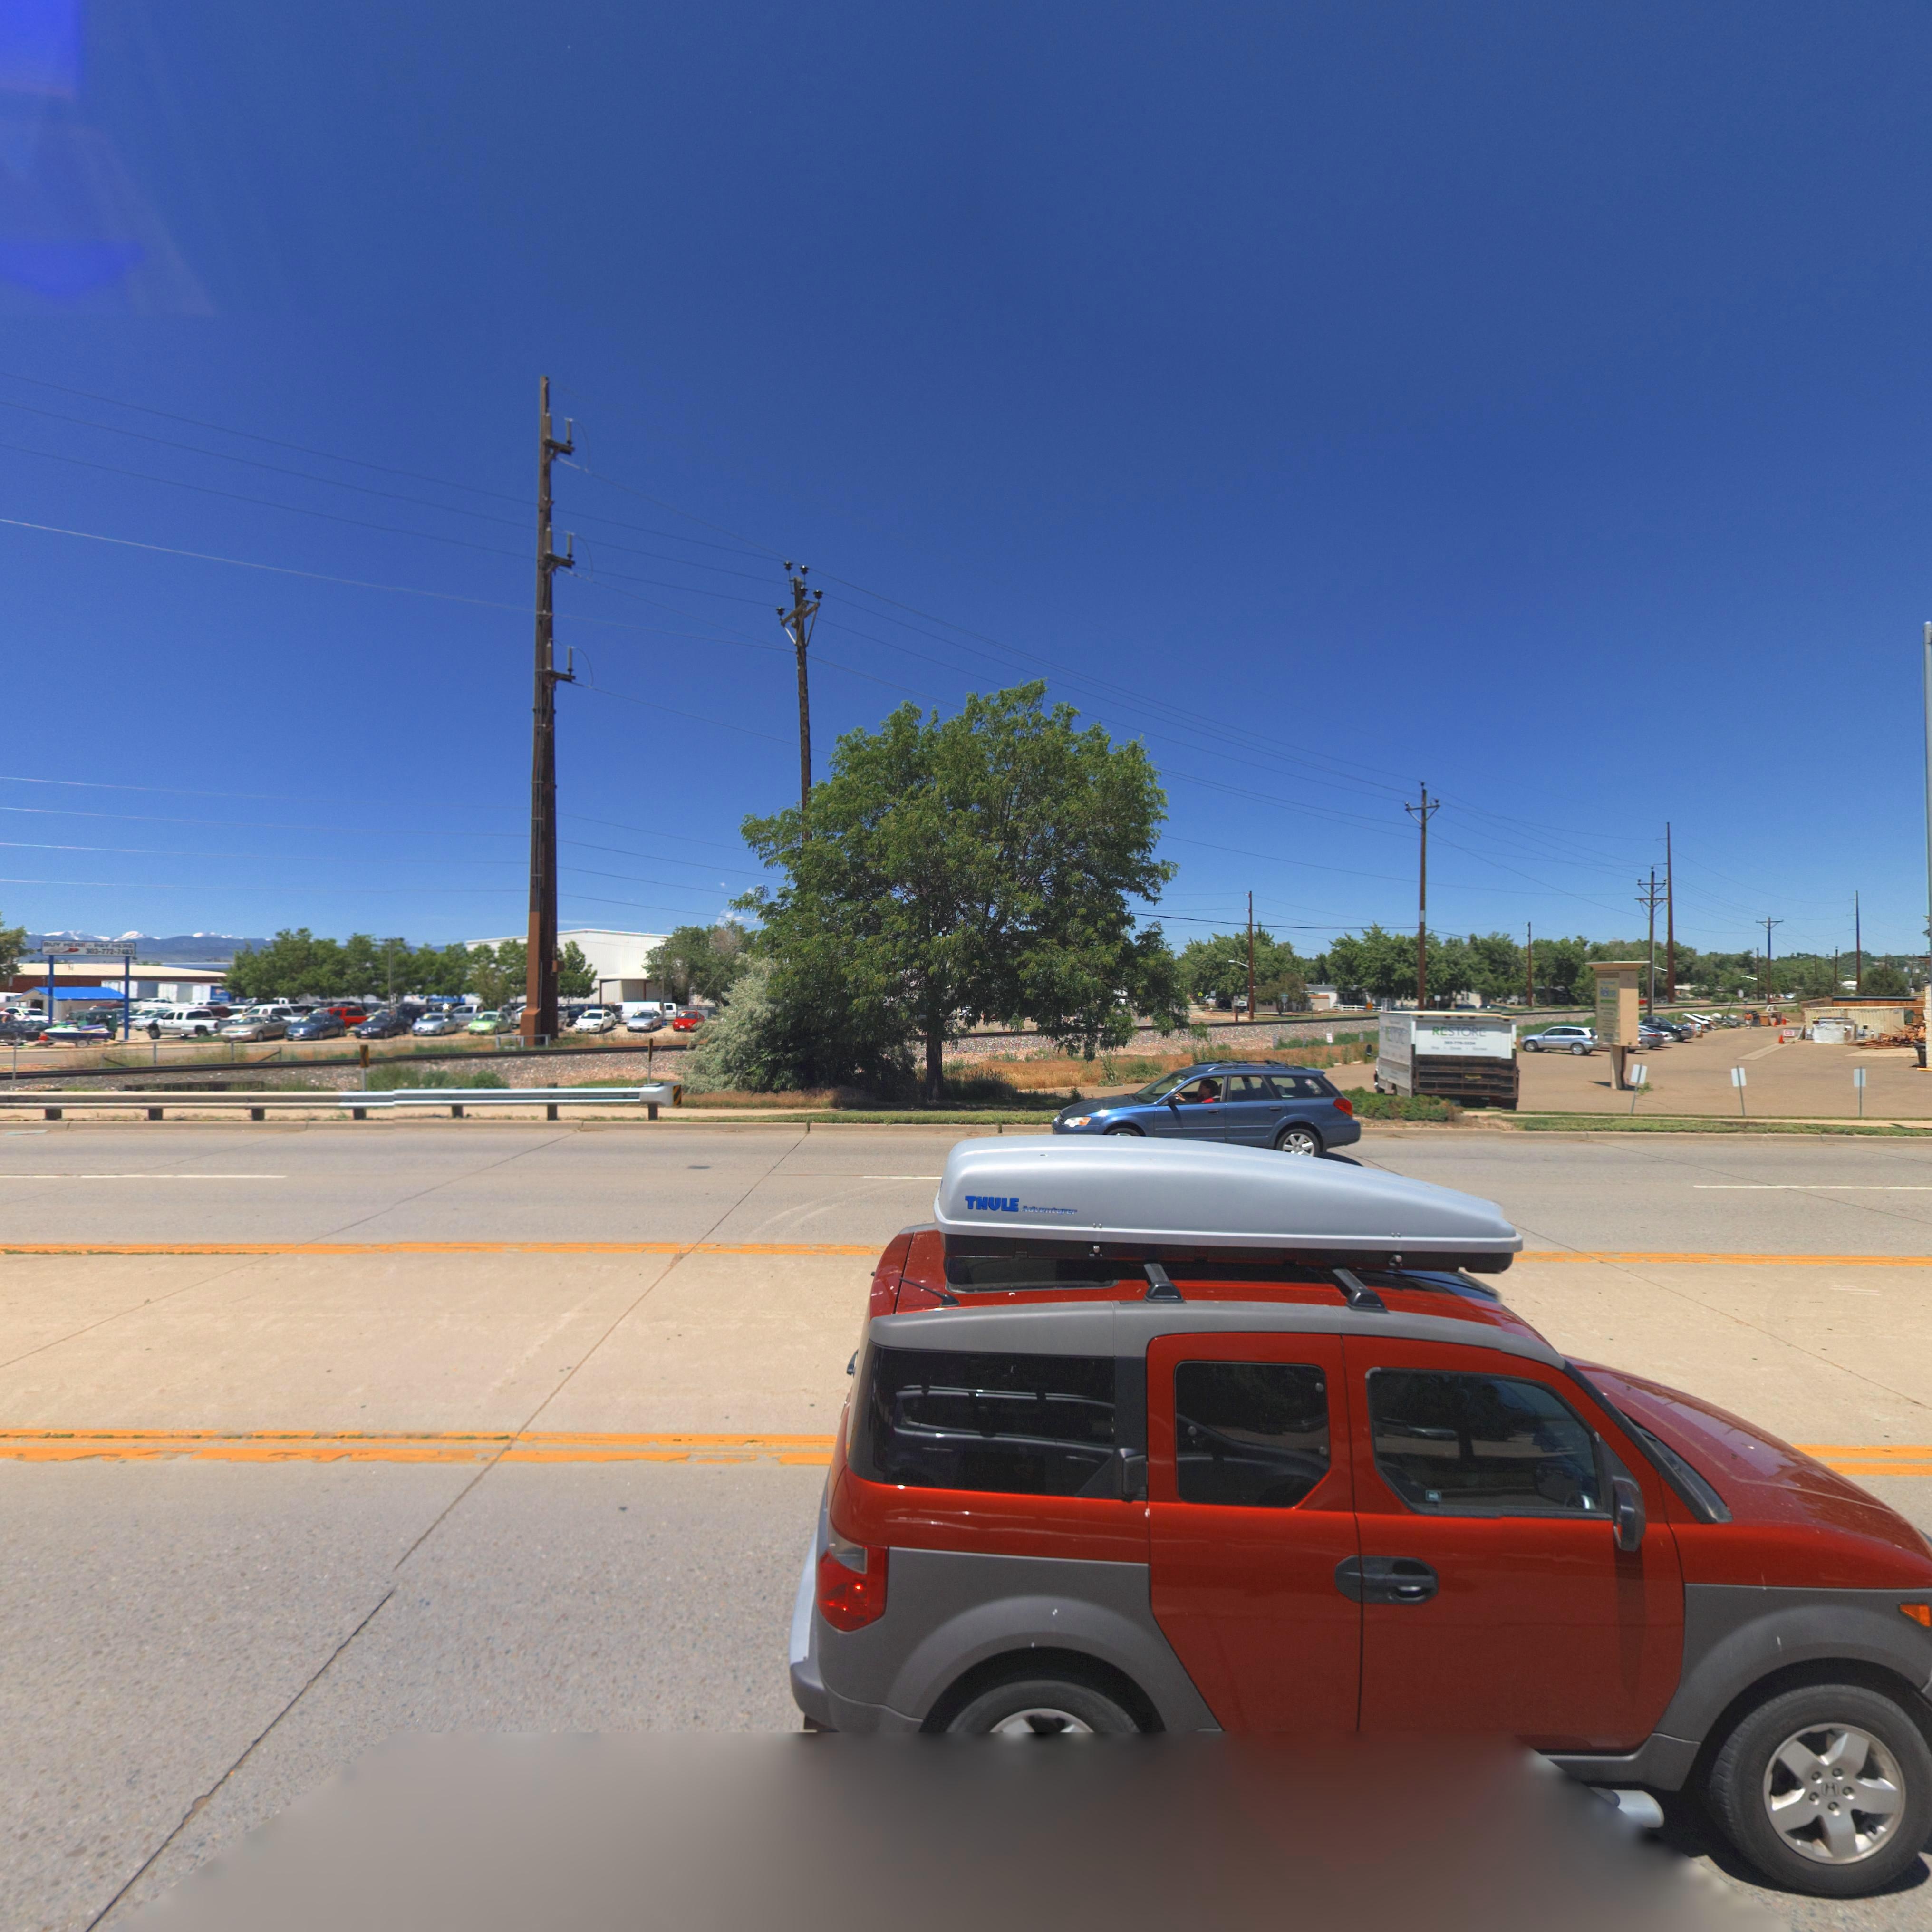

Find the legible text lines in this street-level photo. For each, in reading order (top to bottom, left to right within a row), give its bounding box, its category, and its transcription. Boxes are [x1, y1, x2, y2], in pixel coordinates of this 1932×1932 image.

[1599, 986, 1616, 997] BusinessName: ReStore